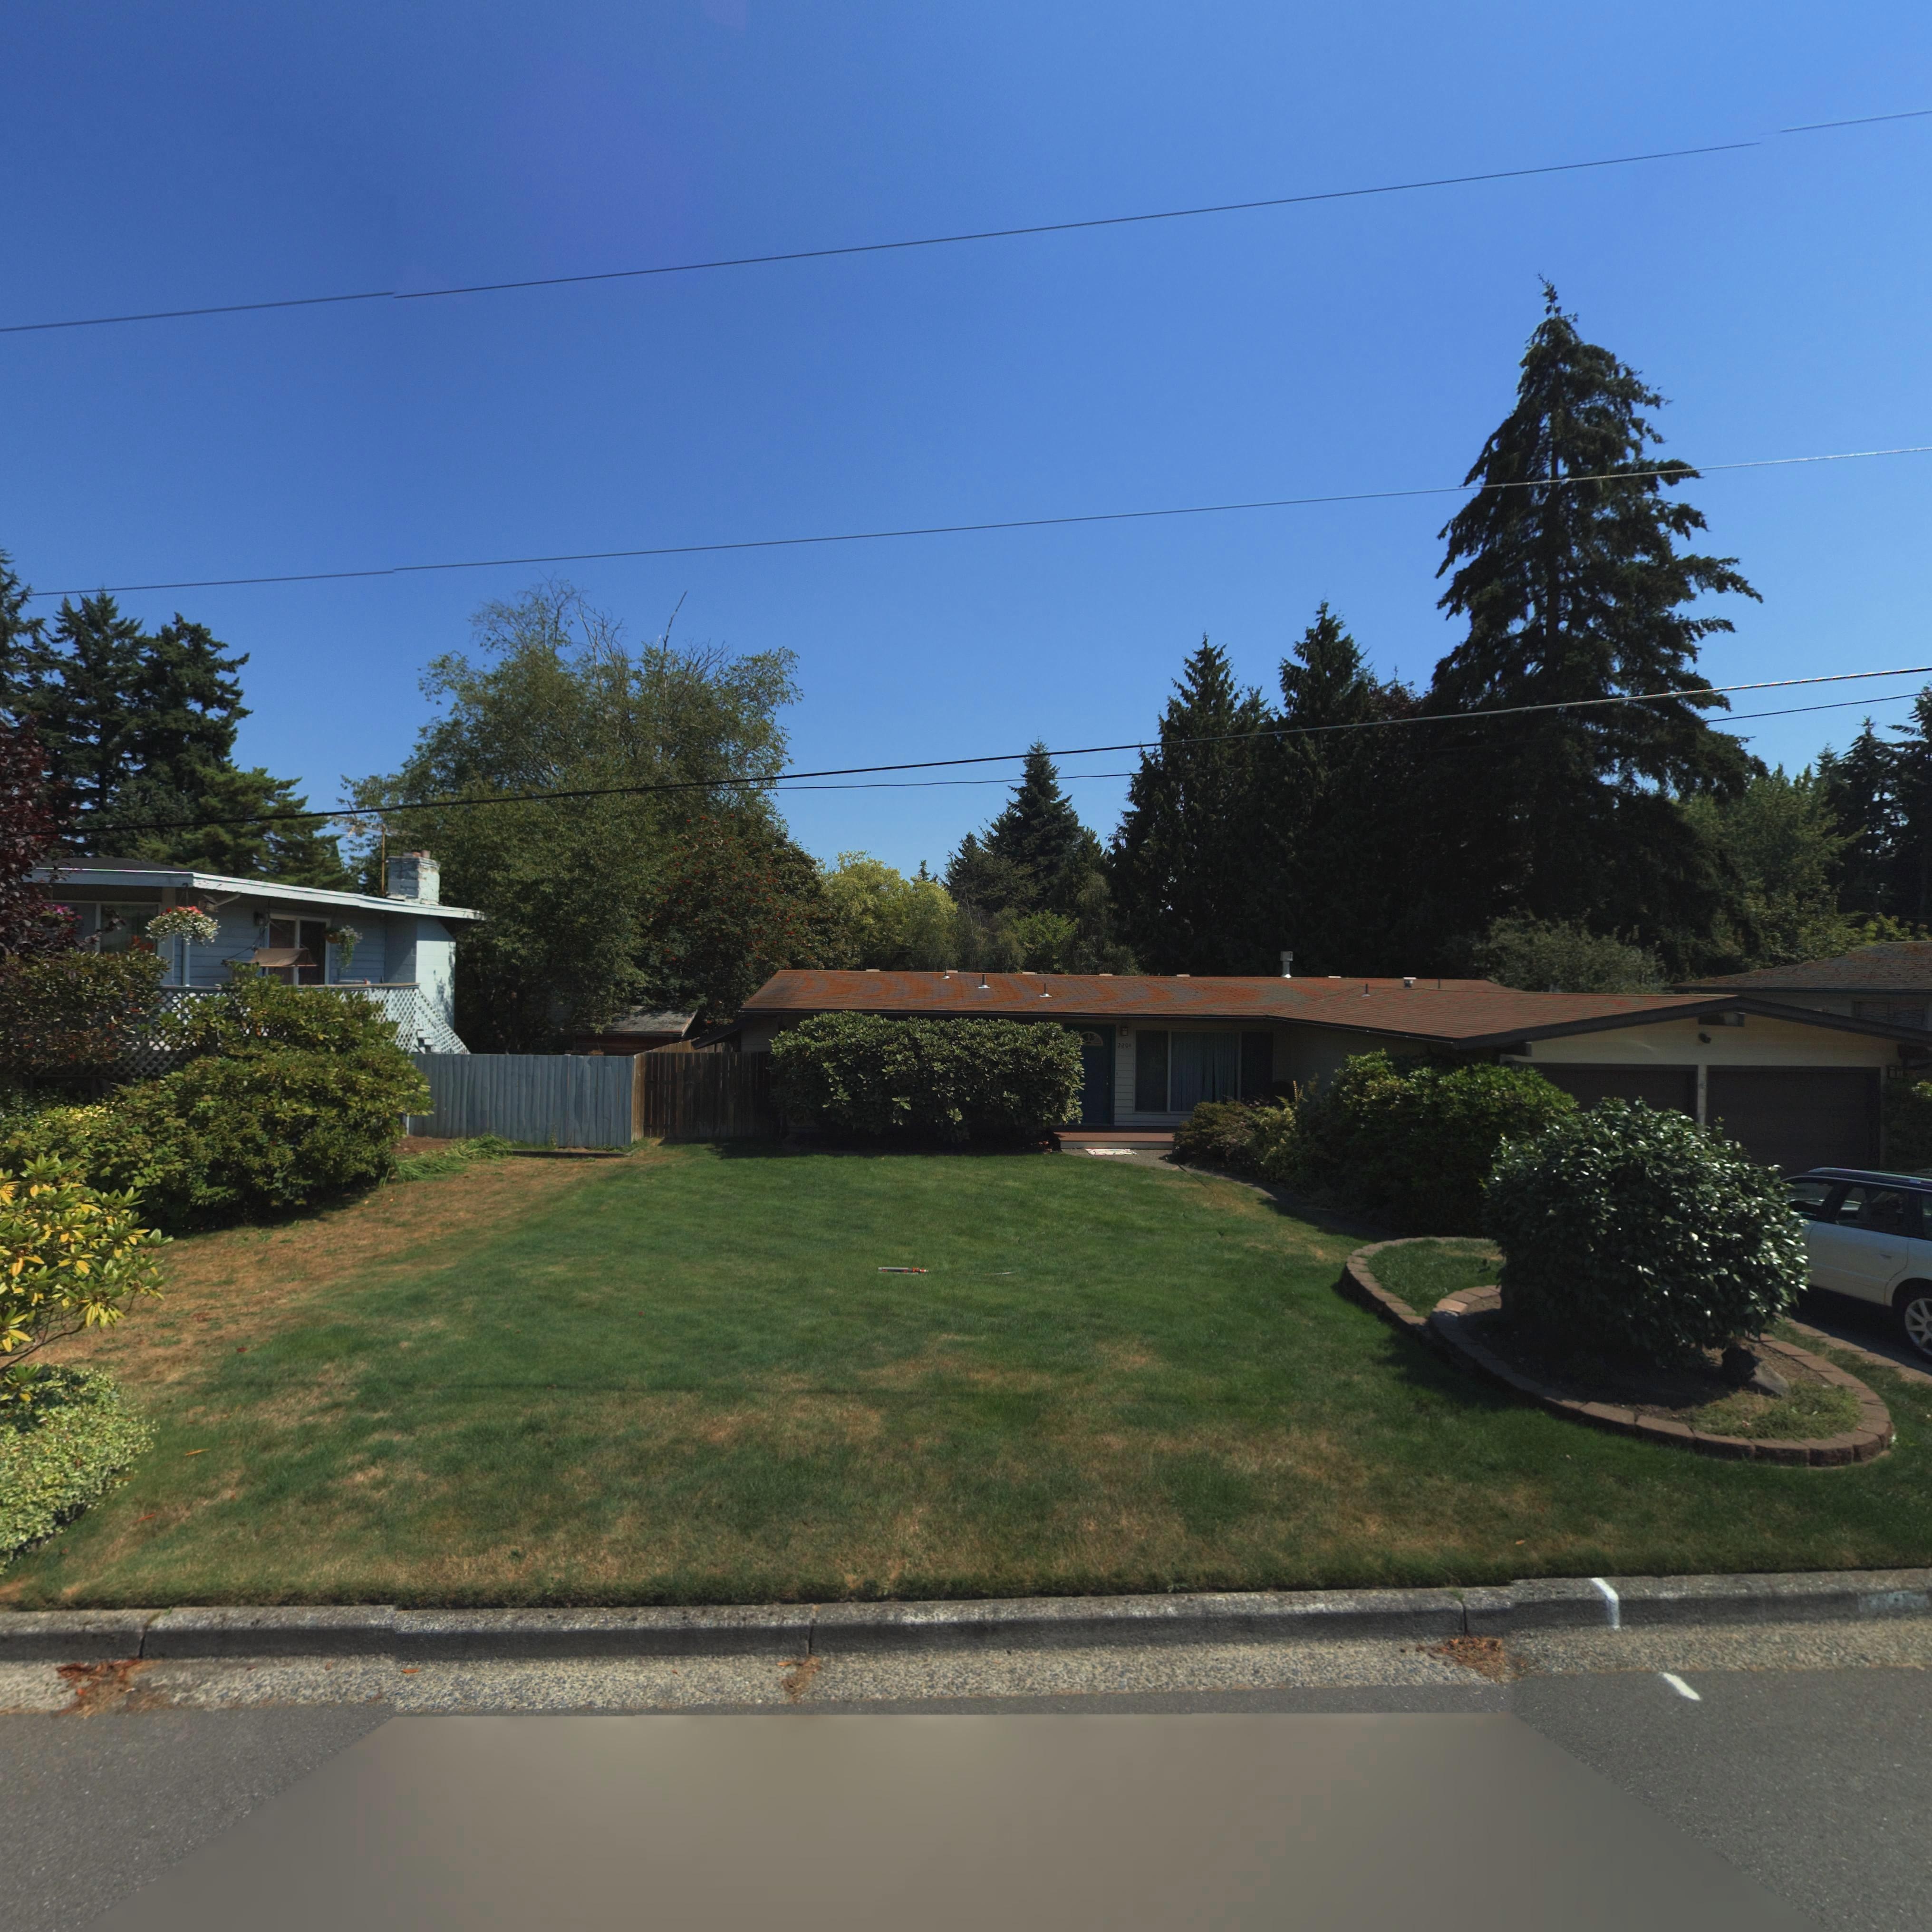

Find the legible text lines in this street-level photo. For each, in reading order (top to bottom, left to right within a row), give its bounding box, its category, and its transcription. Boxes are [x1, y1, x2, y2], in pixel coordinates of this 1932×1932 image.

[1118, 1042, 1132, 1050] StreetNumber: 2204